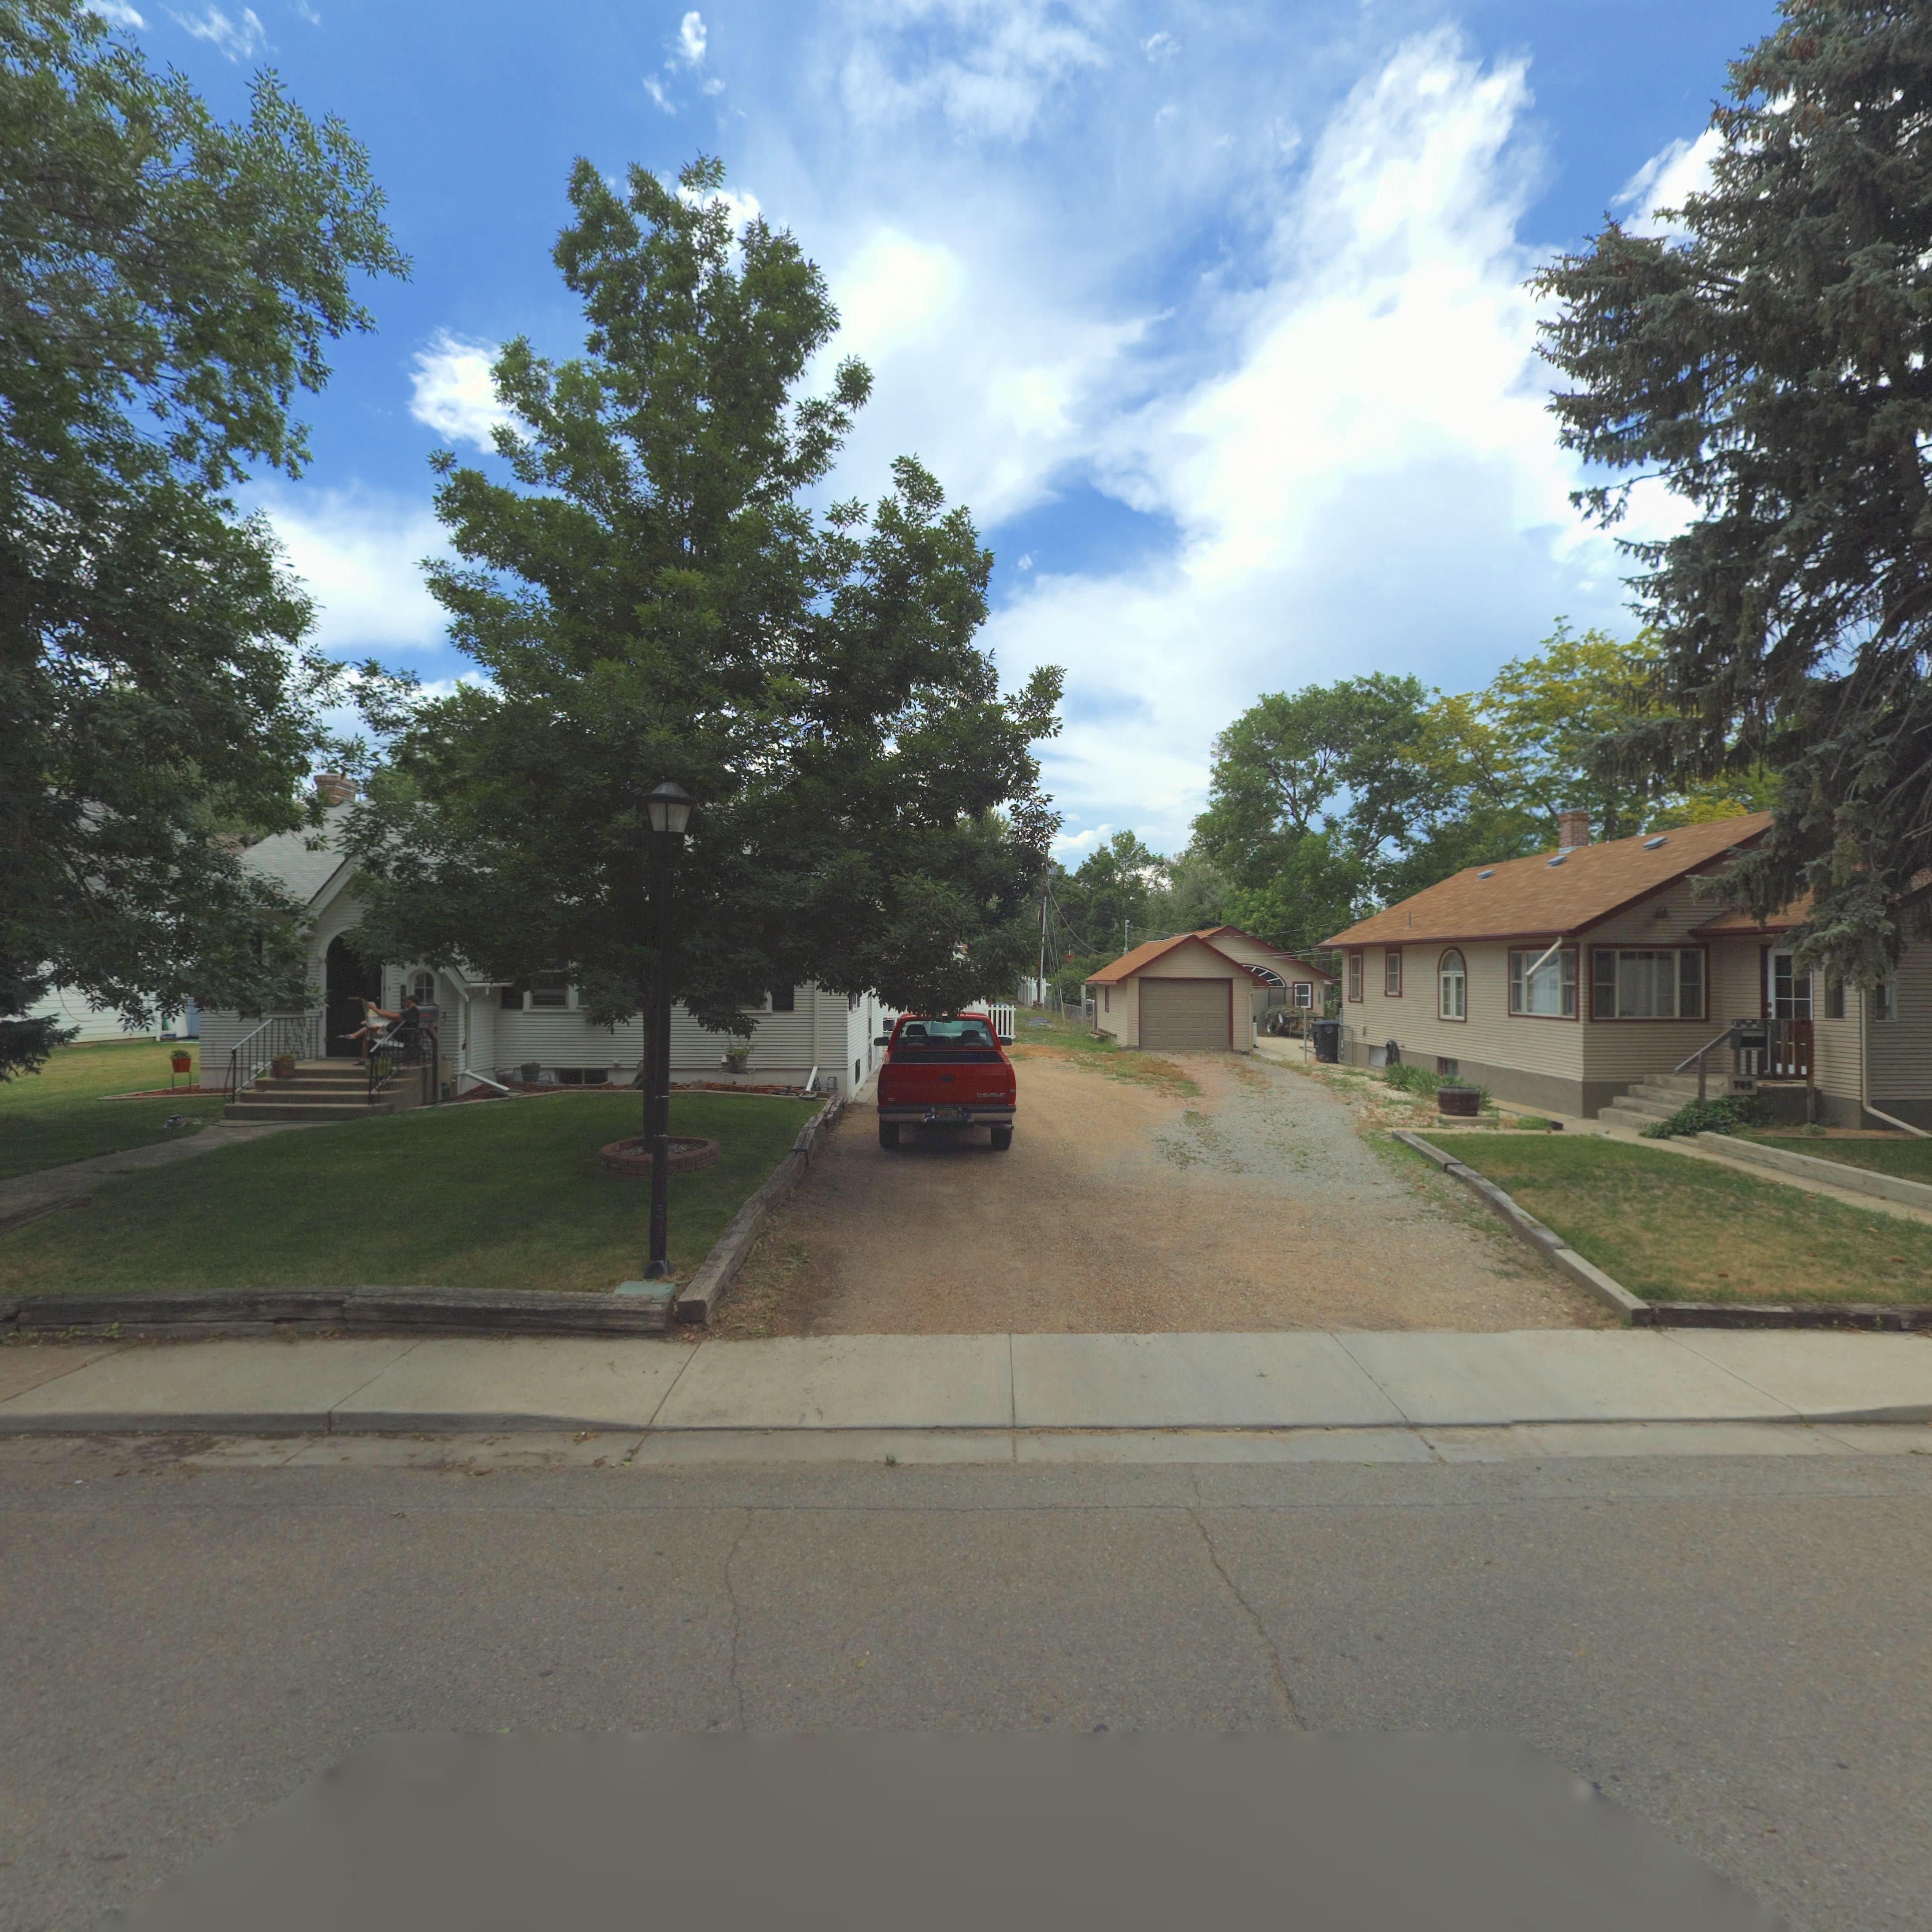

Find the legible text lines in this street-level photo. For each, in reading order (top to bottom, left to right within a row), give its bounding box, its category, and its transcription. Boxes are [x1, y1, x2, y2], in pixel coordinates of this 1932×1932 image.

[1732, 1080, 1752, 1090] StreetNumber: 705